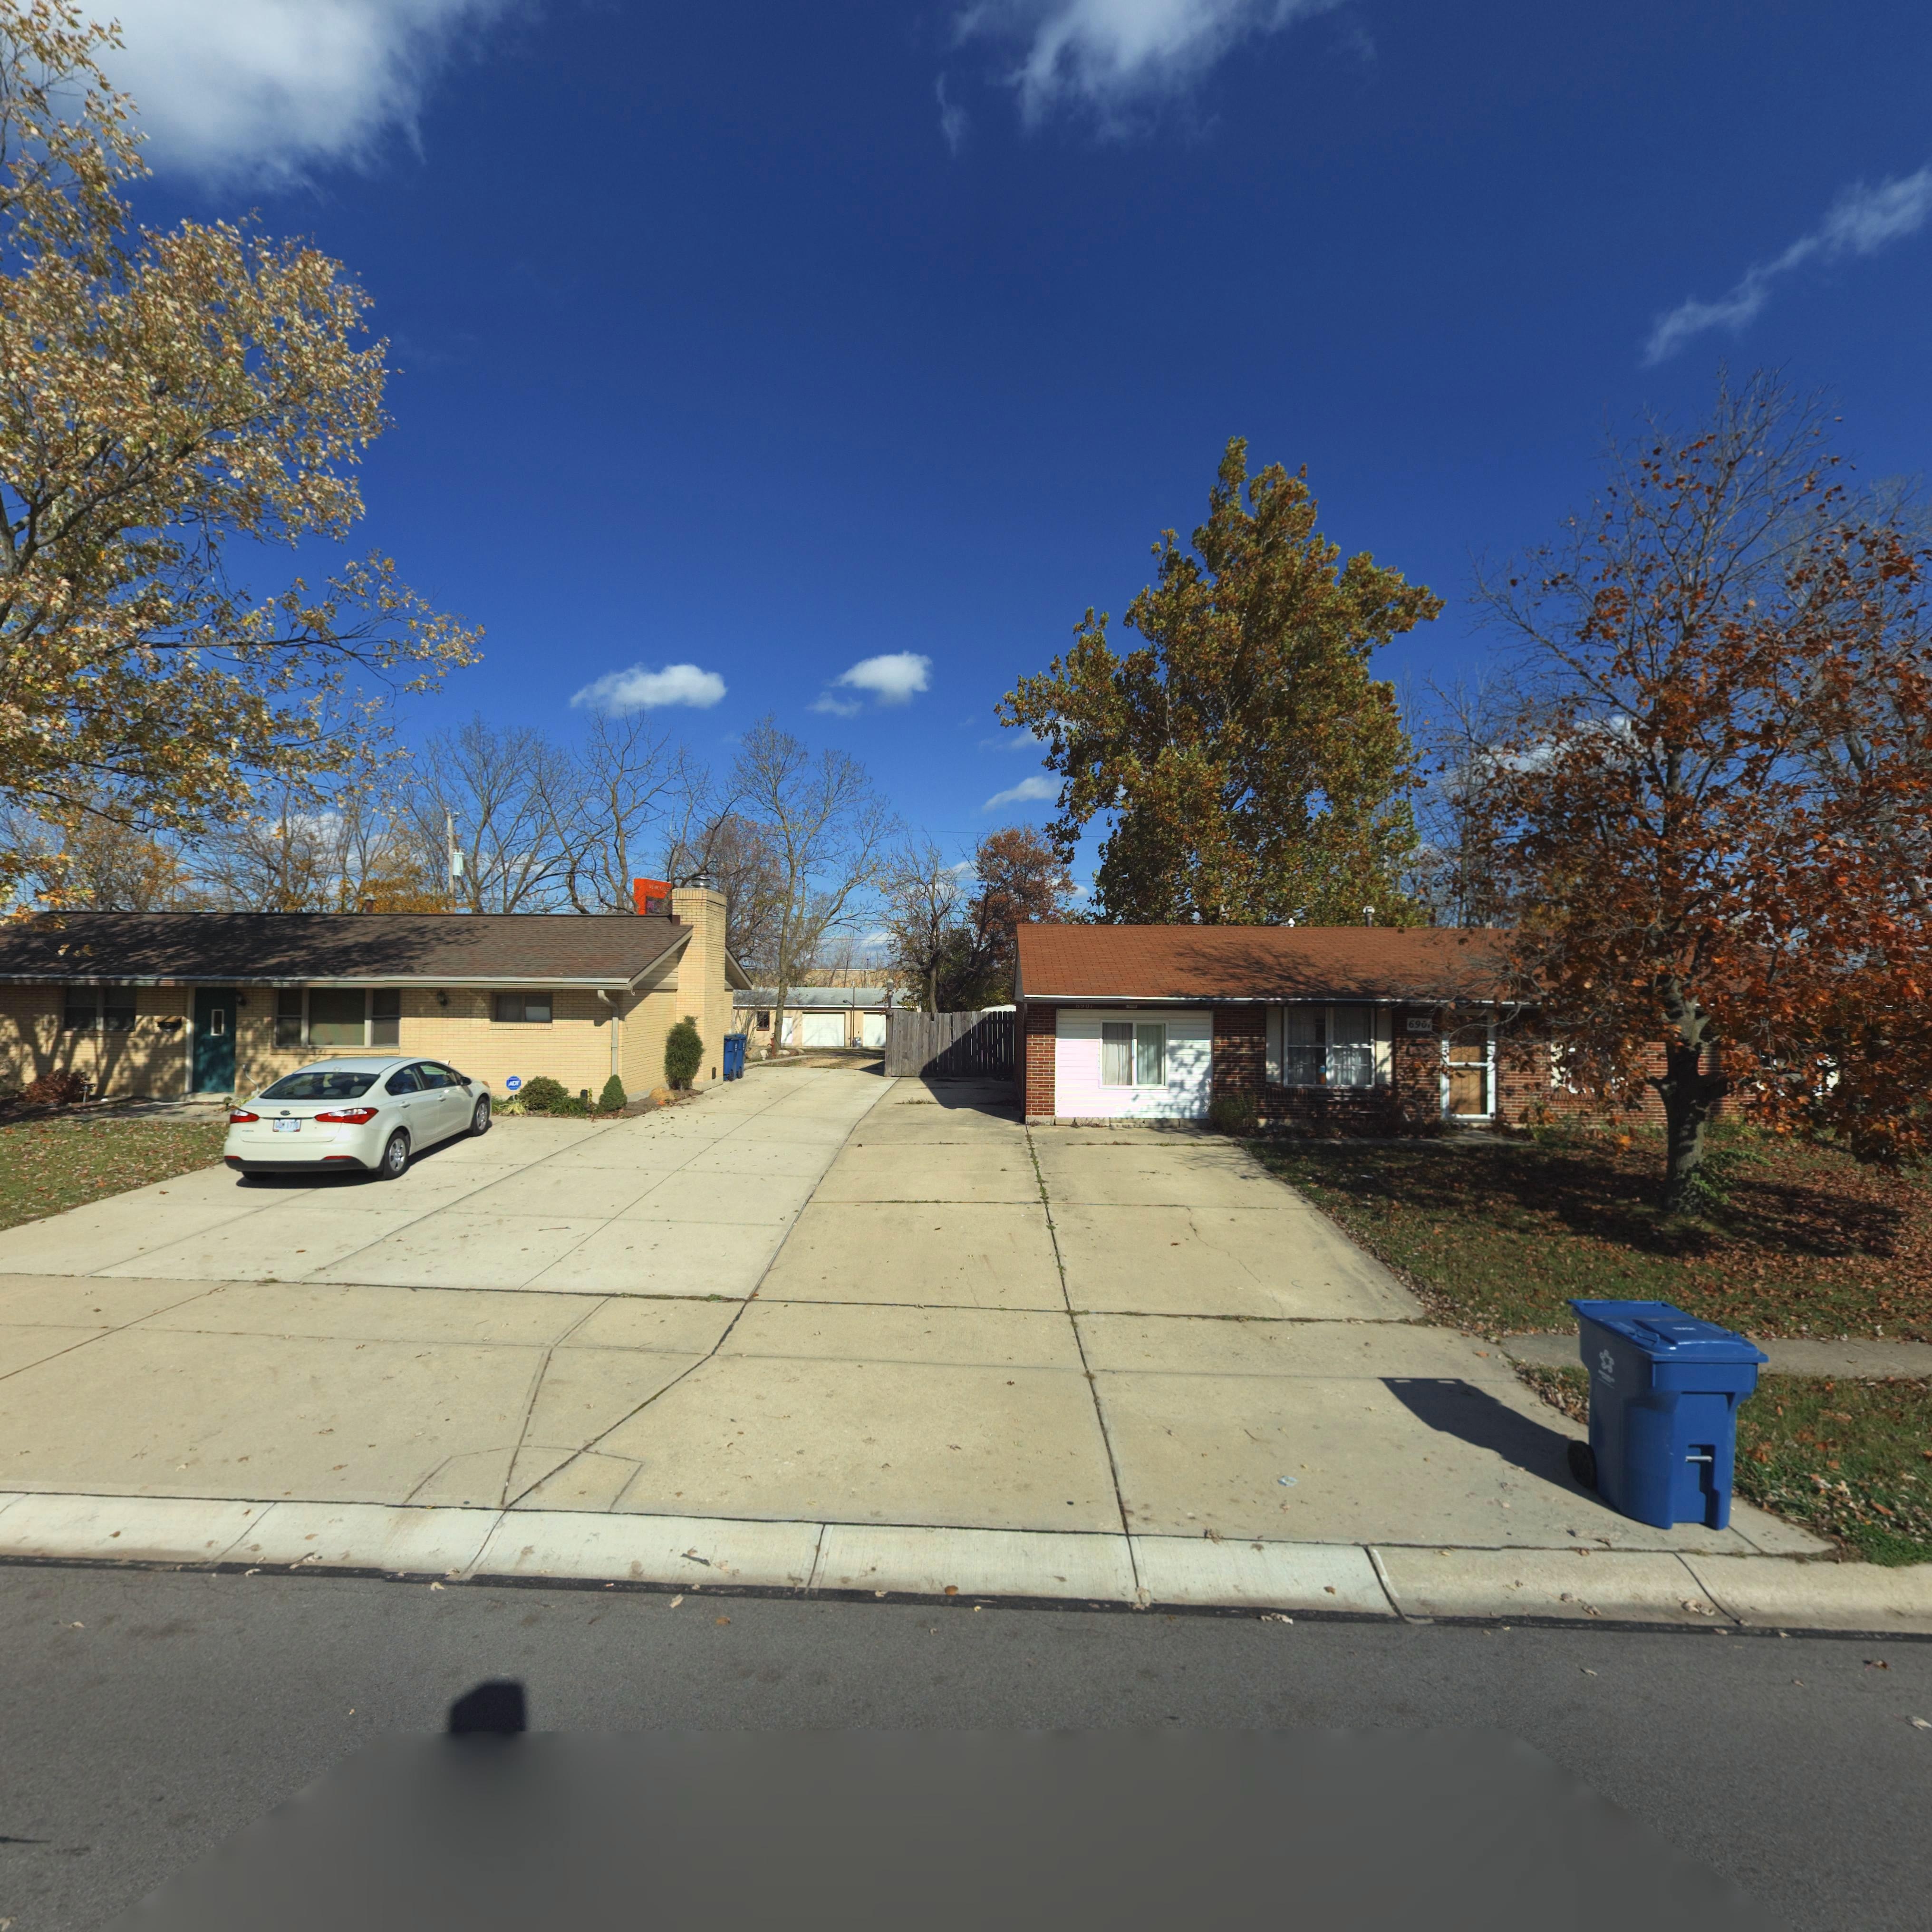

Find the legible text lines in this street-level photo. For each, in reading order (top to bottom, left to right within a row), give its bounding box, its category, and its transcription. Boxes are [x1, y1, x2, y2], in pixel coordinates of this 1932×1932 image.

[1408, 1019, 1433, 1030] StreetNumber: 69**